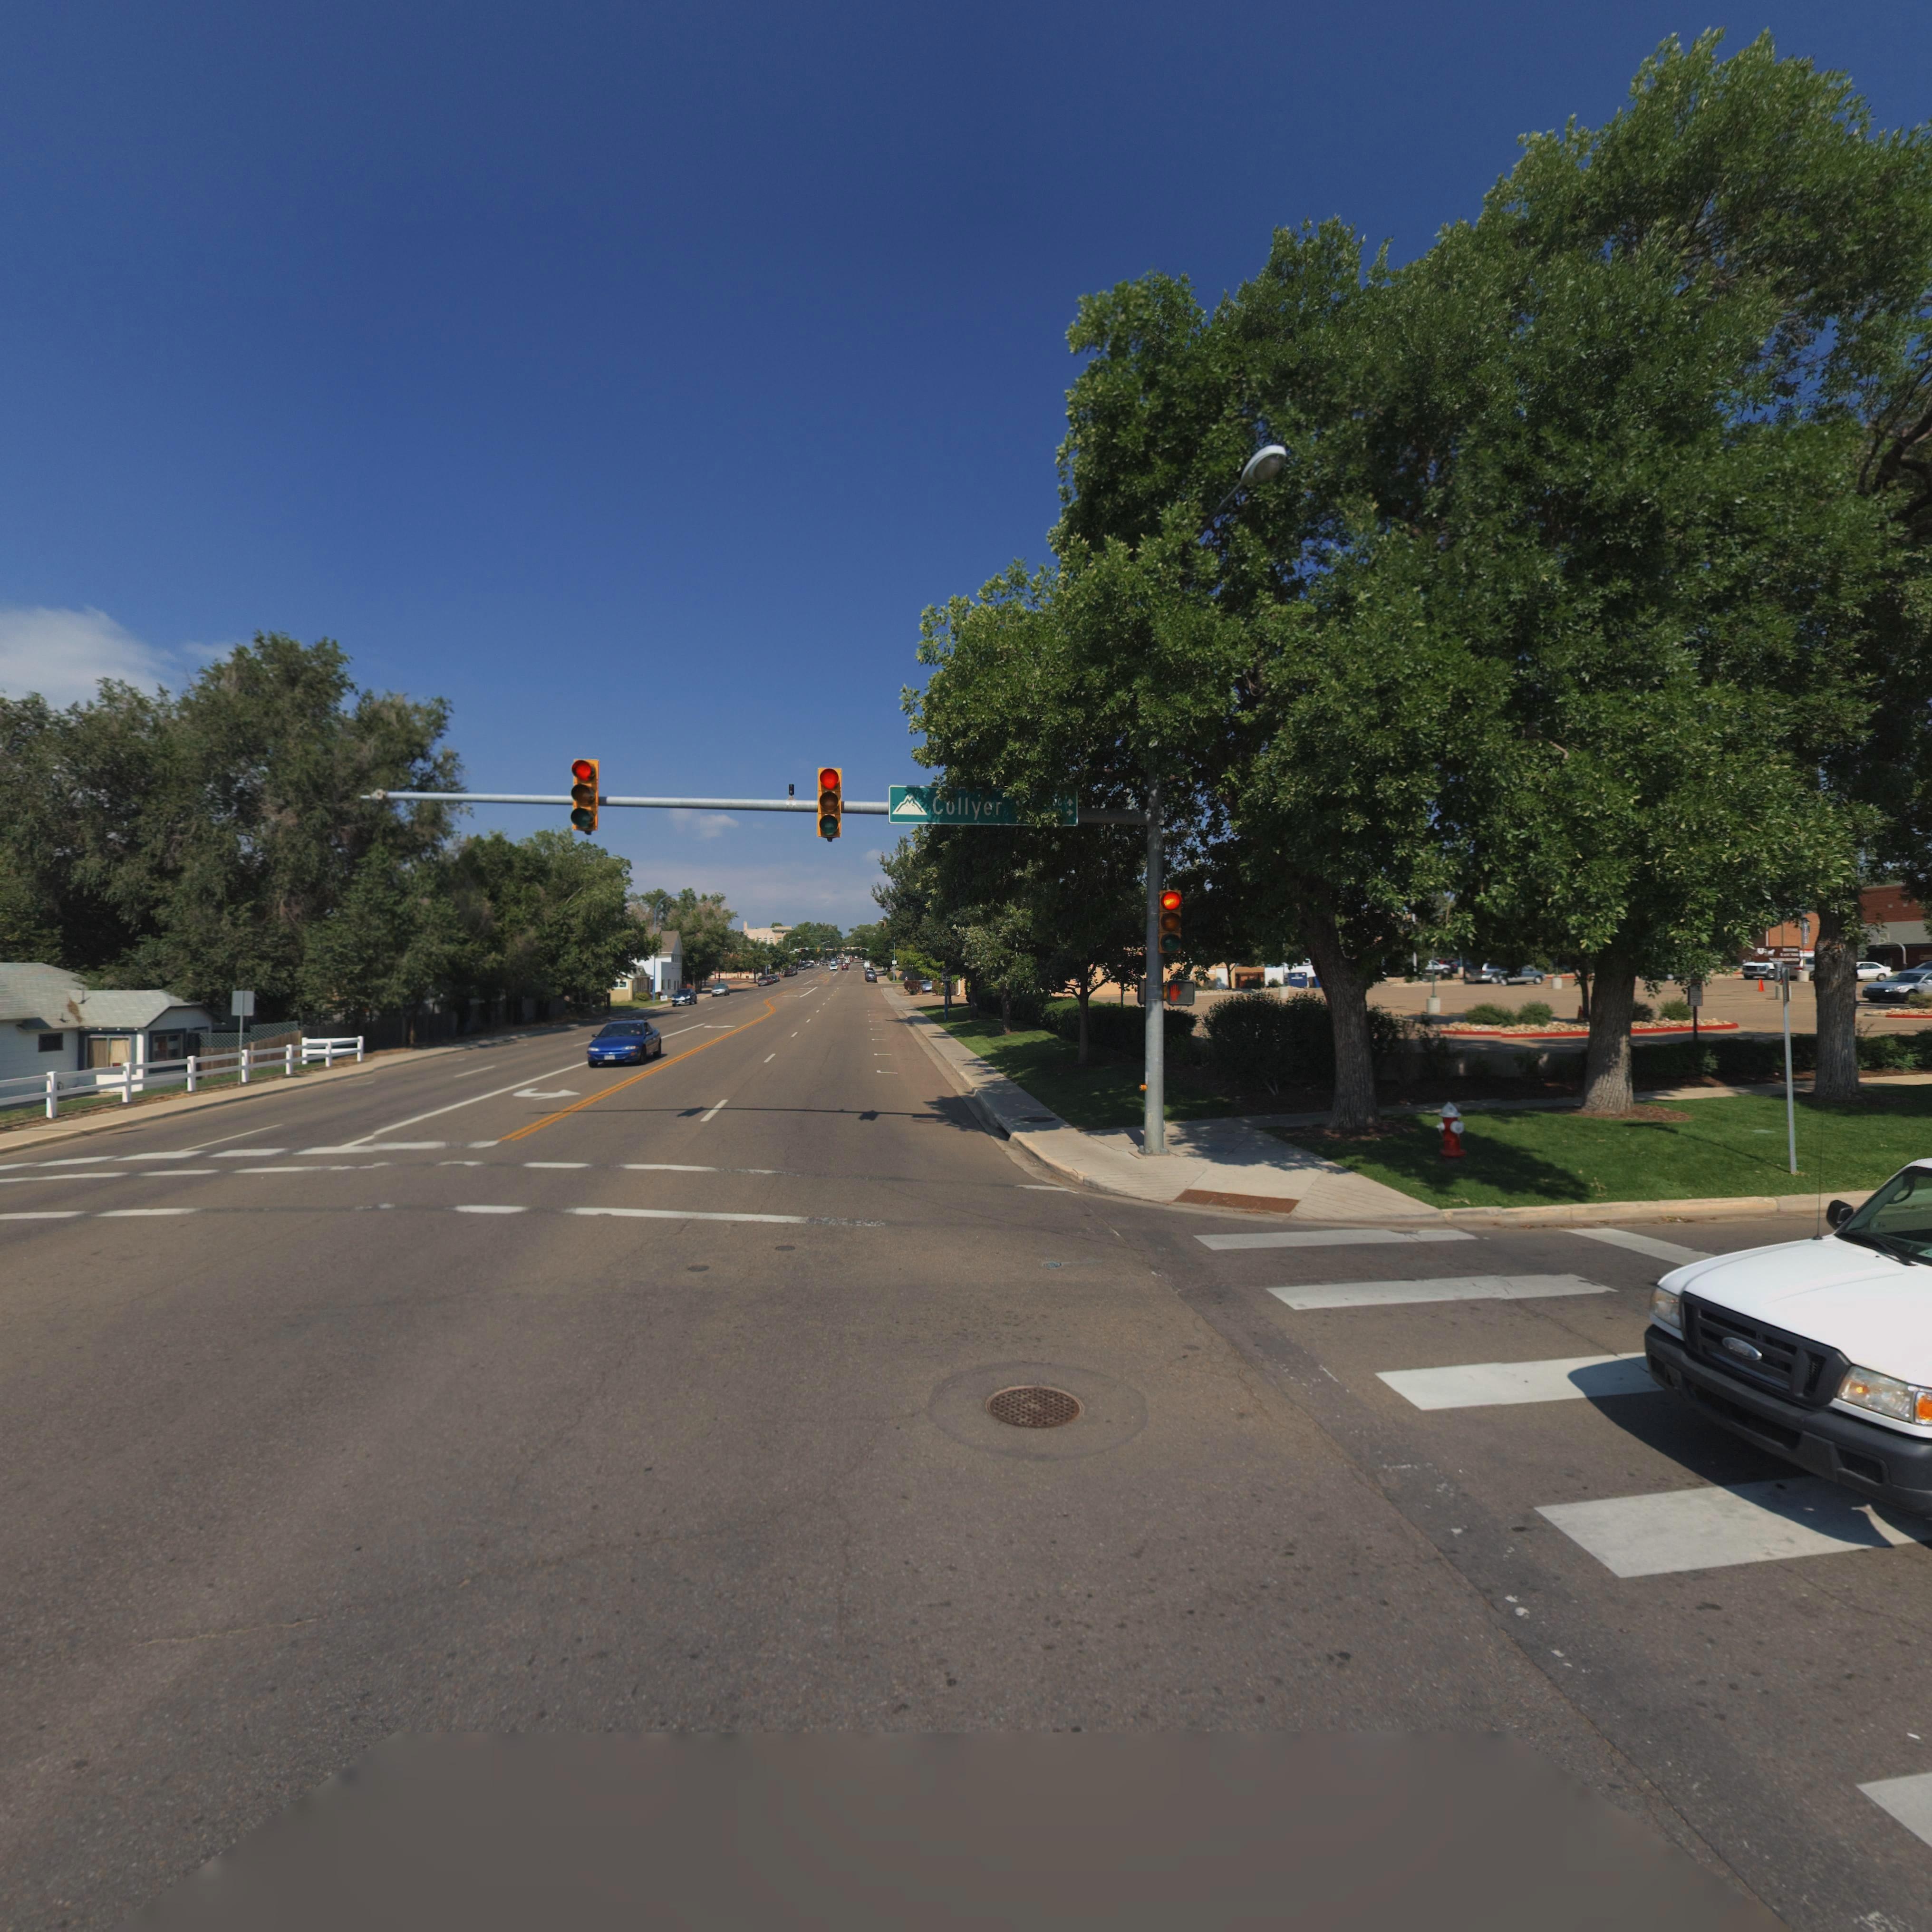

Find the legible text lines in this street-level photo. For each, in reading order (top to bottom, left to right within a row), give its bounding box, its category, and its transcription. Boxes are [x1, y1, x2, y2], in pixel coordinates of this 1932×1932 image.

[931, 794, 1004, 821] StreetName: Collyer
[1052, 797, 1063, 806] StreetNumberRange: 00